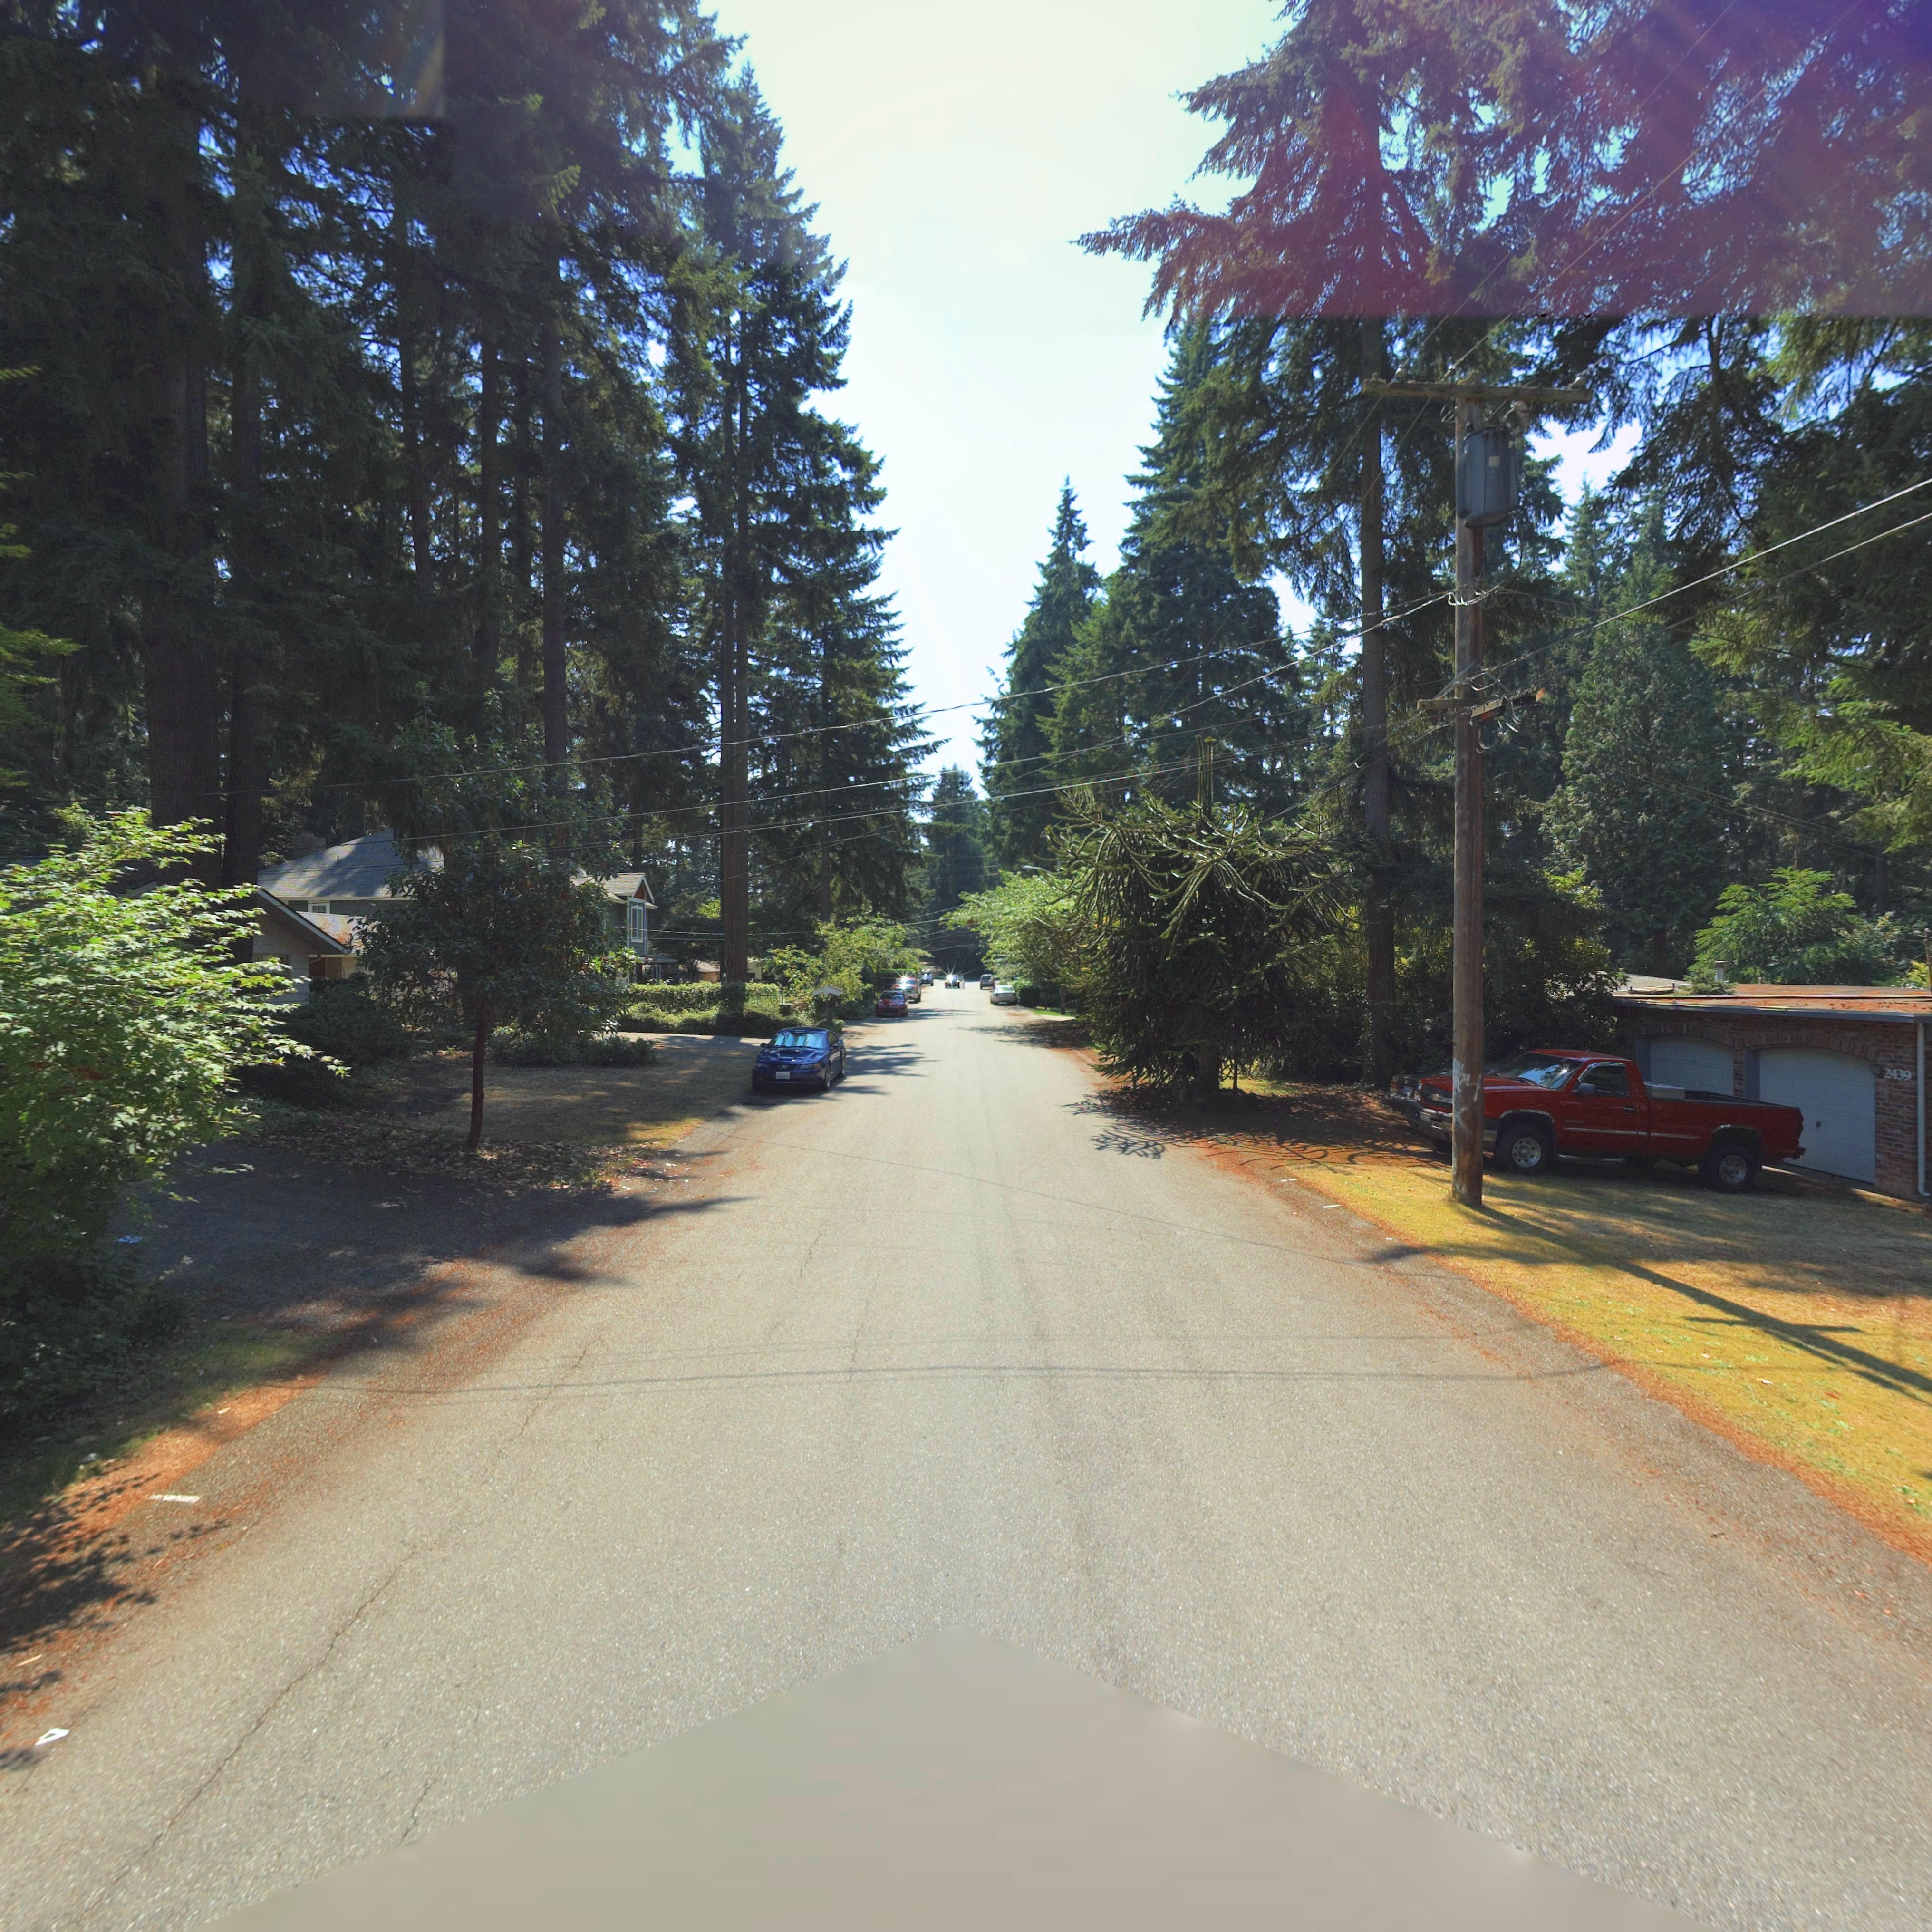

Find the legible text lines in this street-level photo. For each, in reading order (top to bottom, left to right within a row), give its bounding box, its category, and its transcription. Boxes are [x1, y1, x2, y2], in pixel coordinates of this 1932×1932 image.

[1884, 1068, 1912, 1081] StreetNumber: 2439